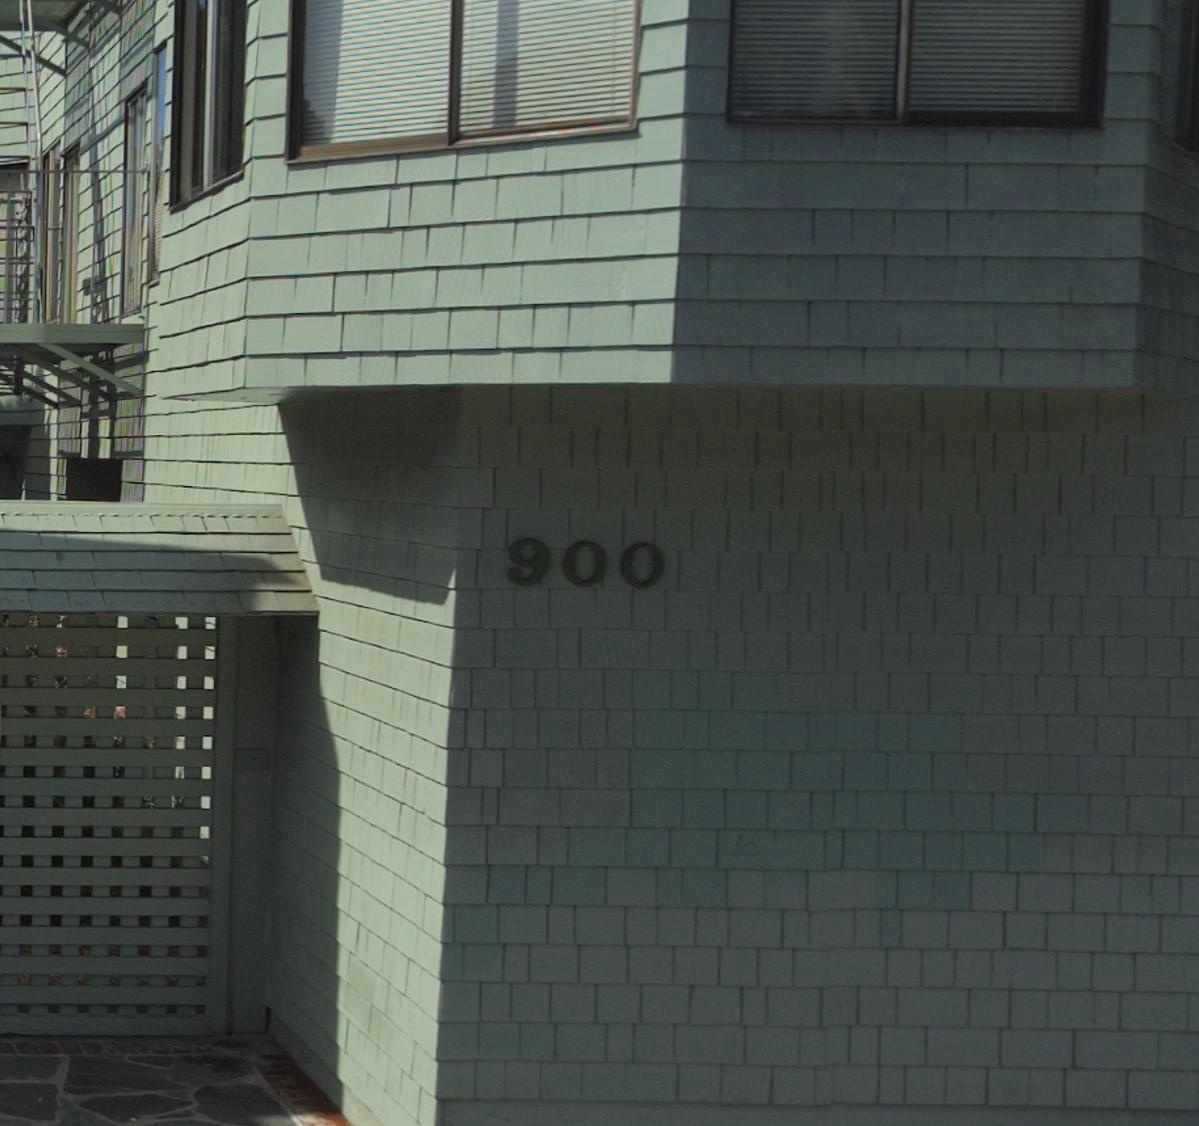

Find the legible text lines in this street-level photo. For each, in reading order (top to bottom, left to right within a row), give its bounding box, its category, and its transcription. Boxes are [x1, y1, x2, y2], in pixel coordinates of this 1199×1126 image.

[505, 536, 666, 590] StreetNumber: 900